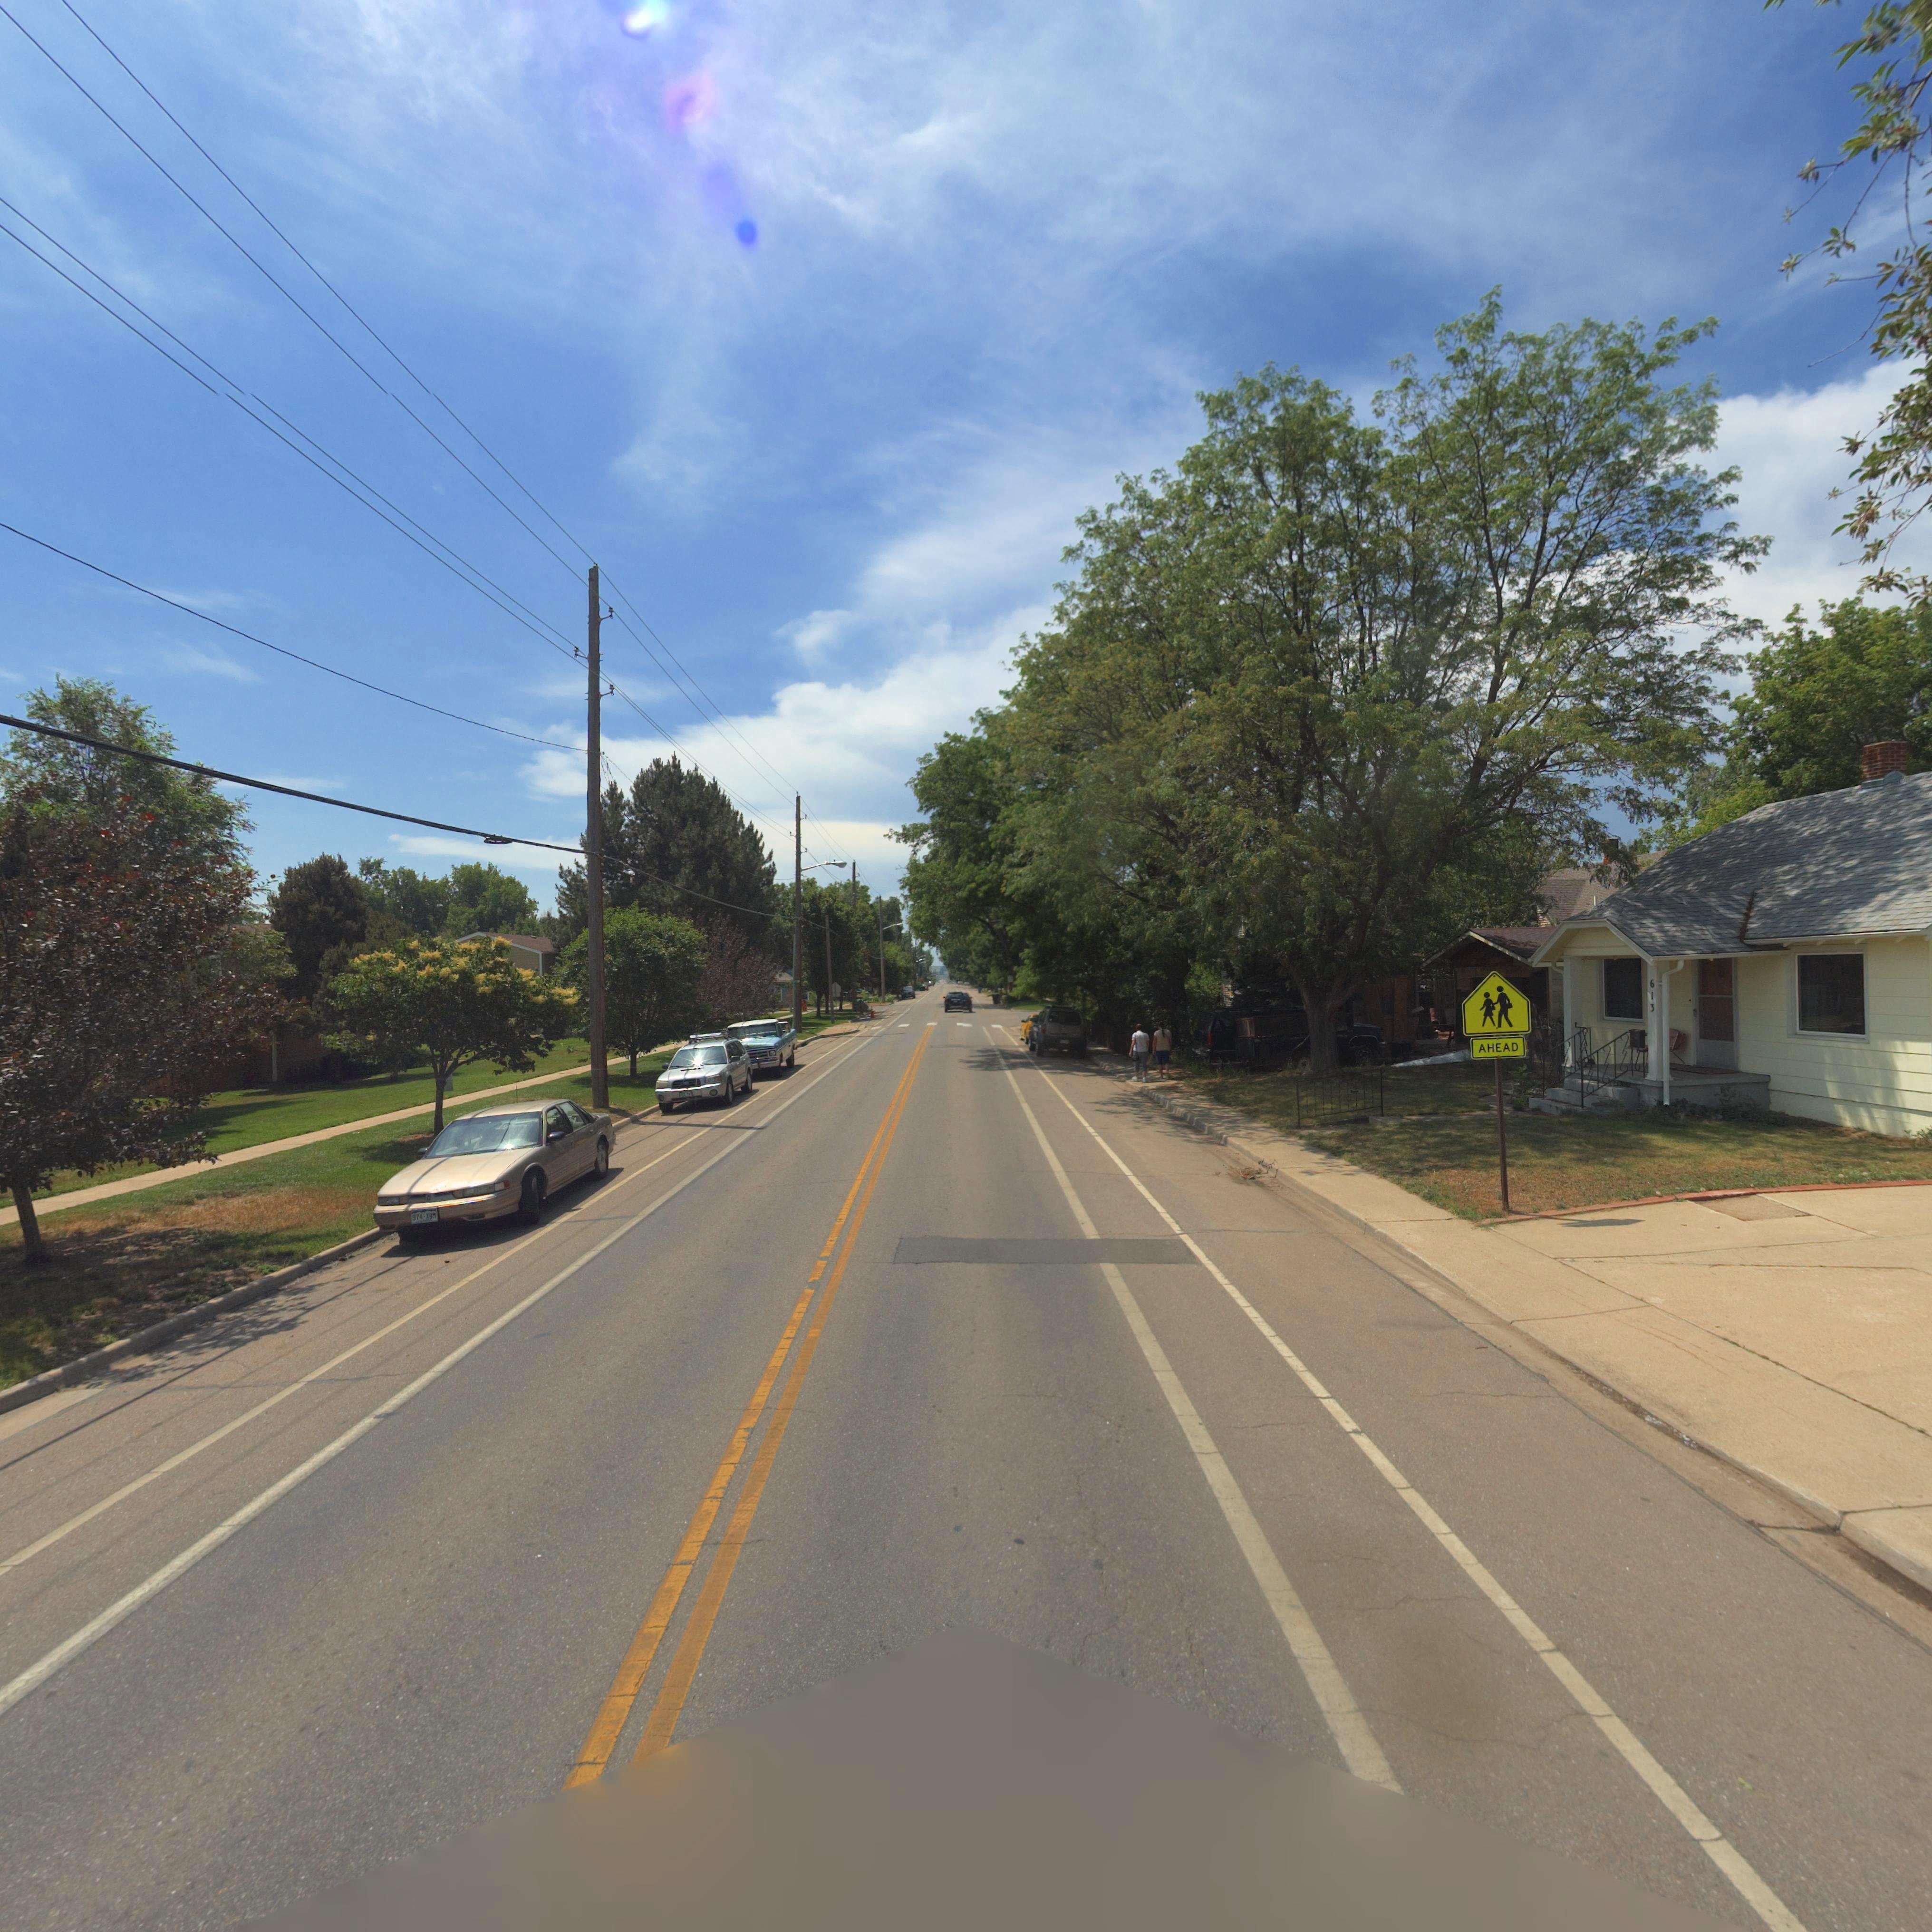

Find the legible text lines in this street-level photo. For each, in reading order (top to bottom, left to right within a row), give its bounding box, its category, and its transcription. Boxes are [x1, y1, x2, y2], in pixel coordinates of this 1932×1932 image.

[1650, 978, 1654, 1012] StreetNumber: 613